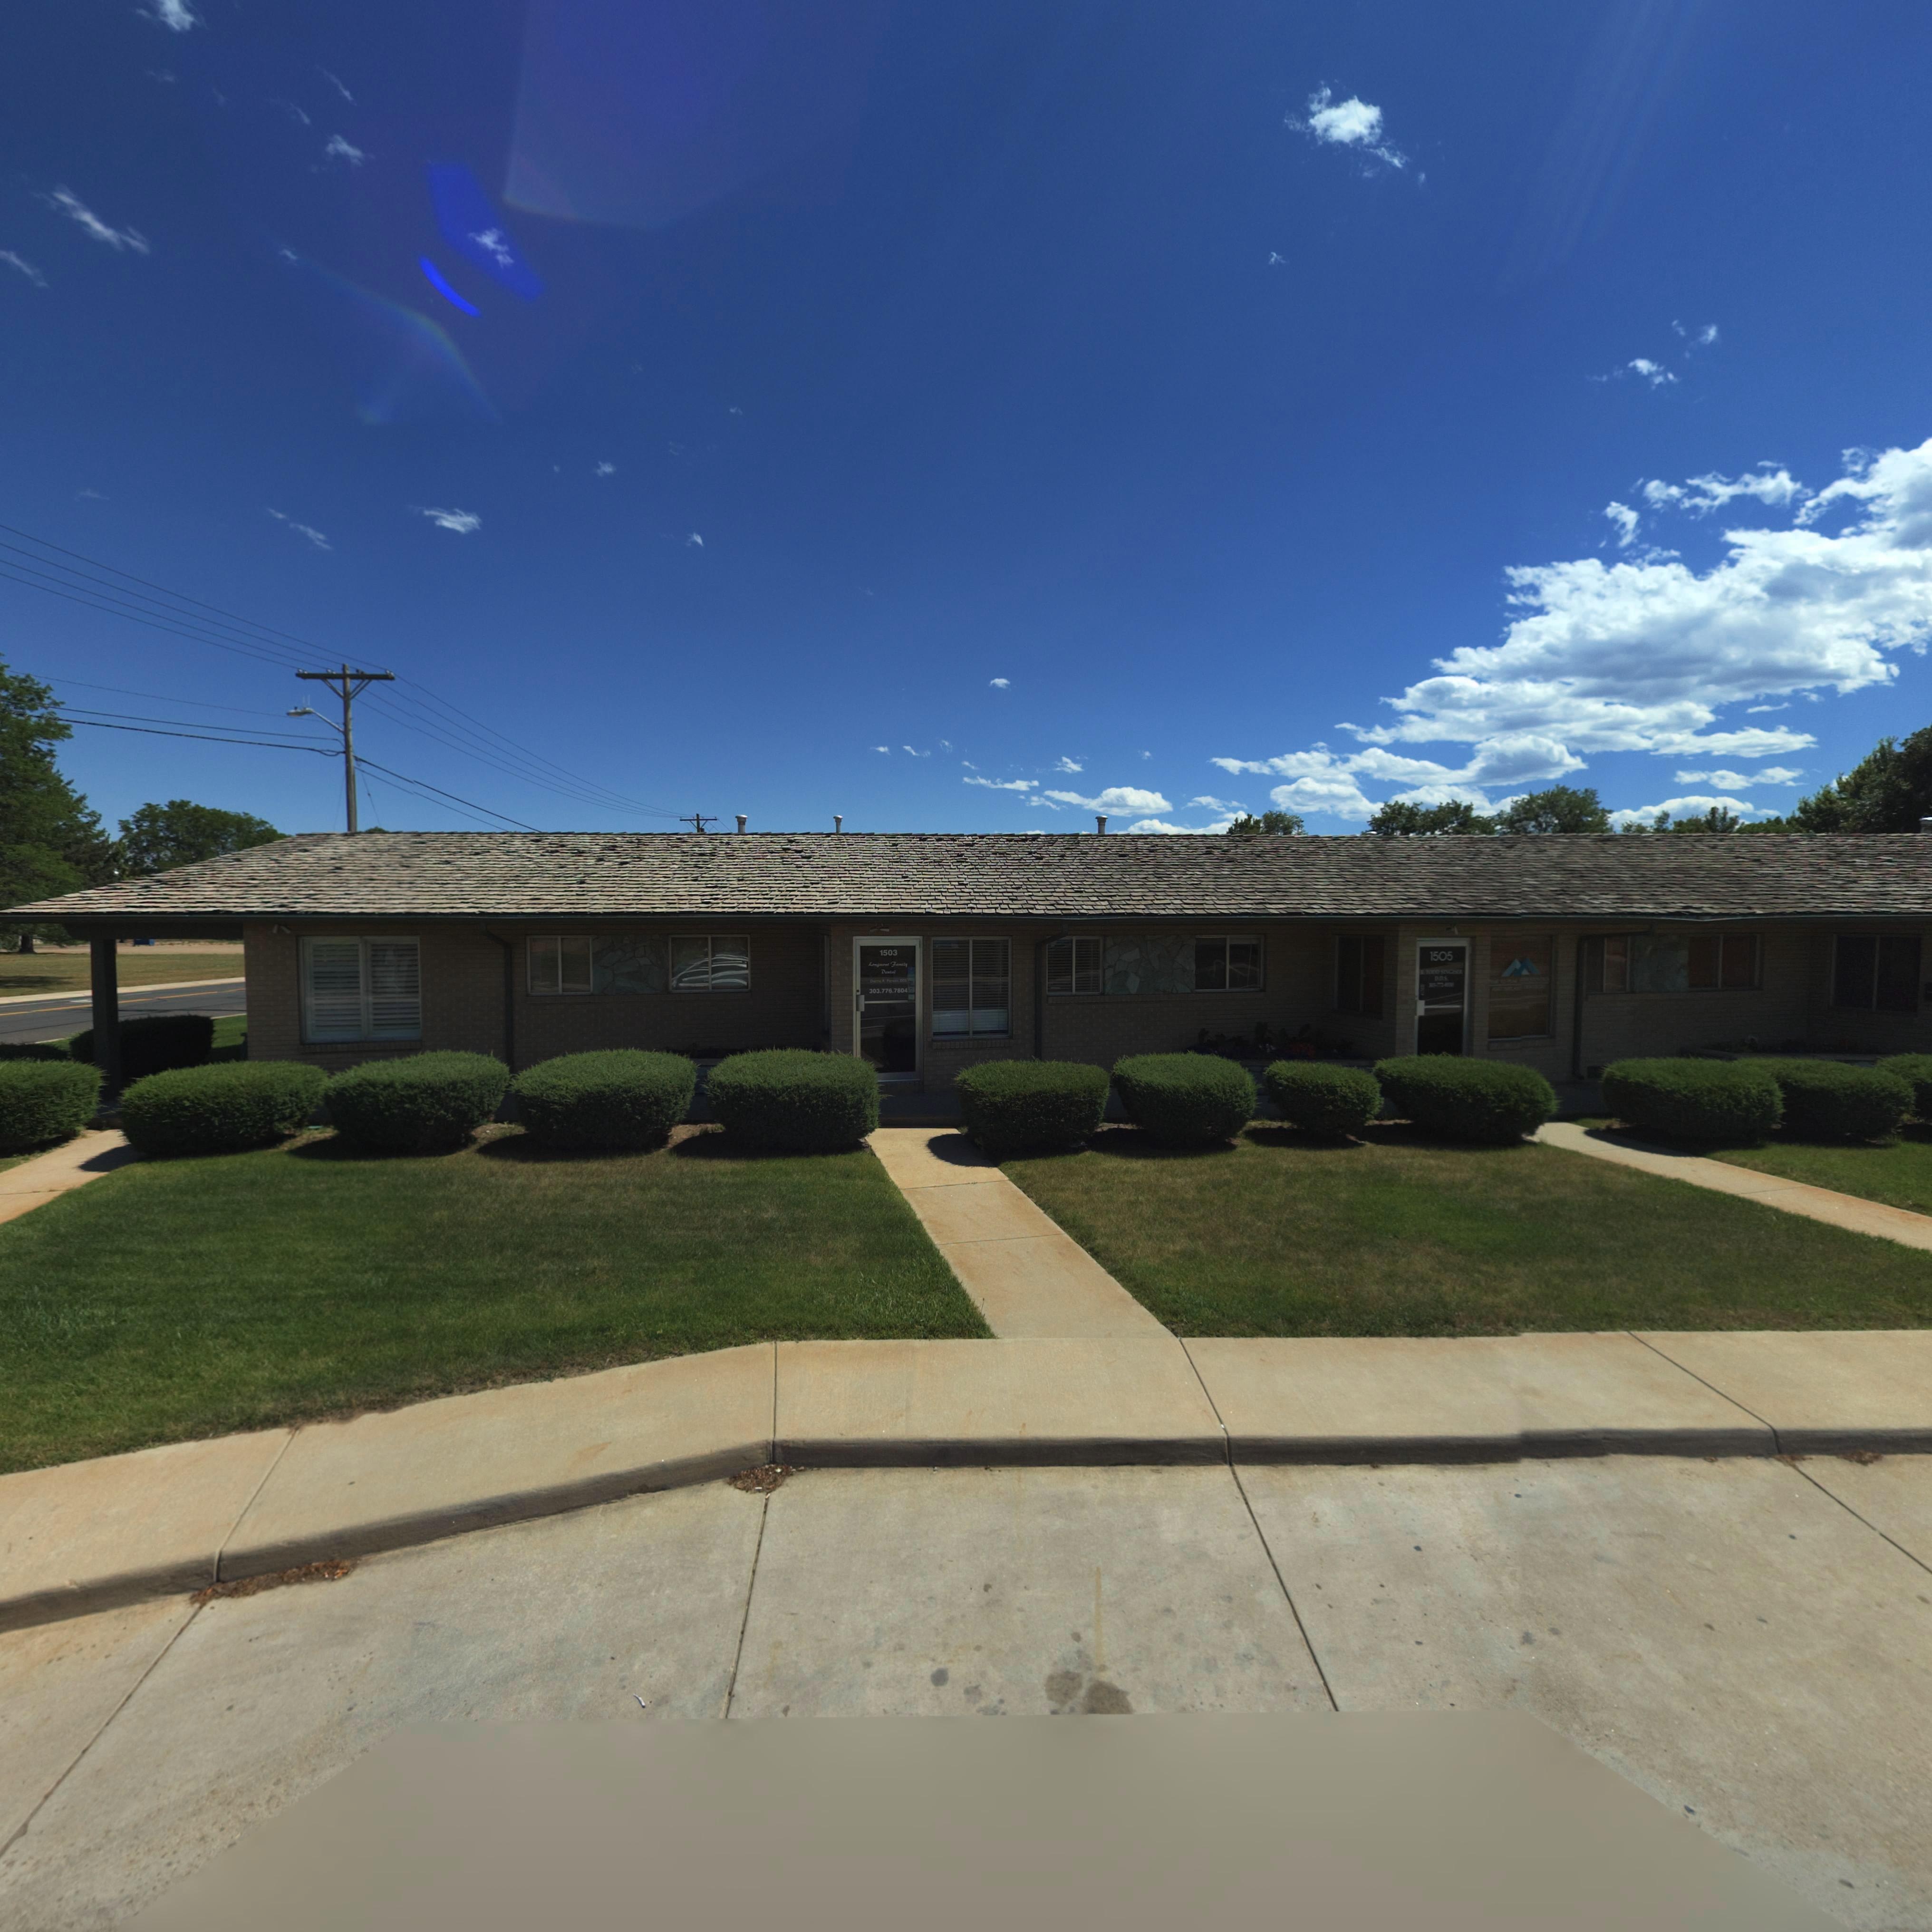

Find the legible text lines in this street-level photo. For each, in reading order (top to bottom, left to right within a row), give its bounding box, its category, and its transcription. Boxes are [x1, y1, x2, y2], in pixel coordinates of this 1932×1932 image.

[879, 949, 898, 956] StreetNumber: 1503
[1428, 950, 1455, 962] StreetNumber: 1505
[867, 961, 908, 968] BusinessName: Longmont Family
[880, 968, 897, 974] BusinessName: Dental